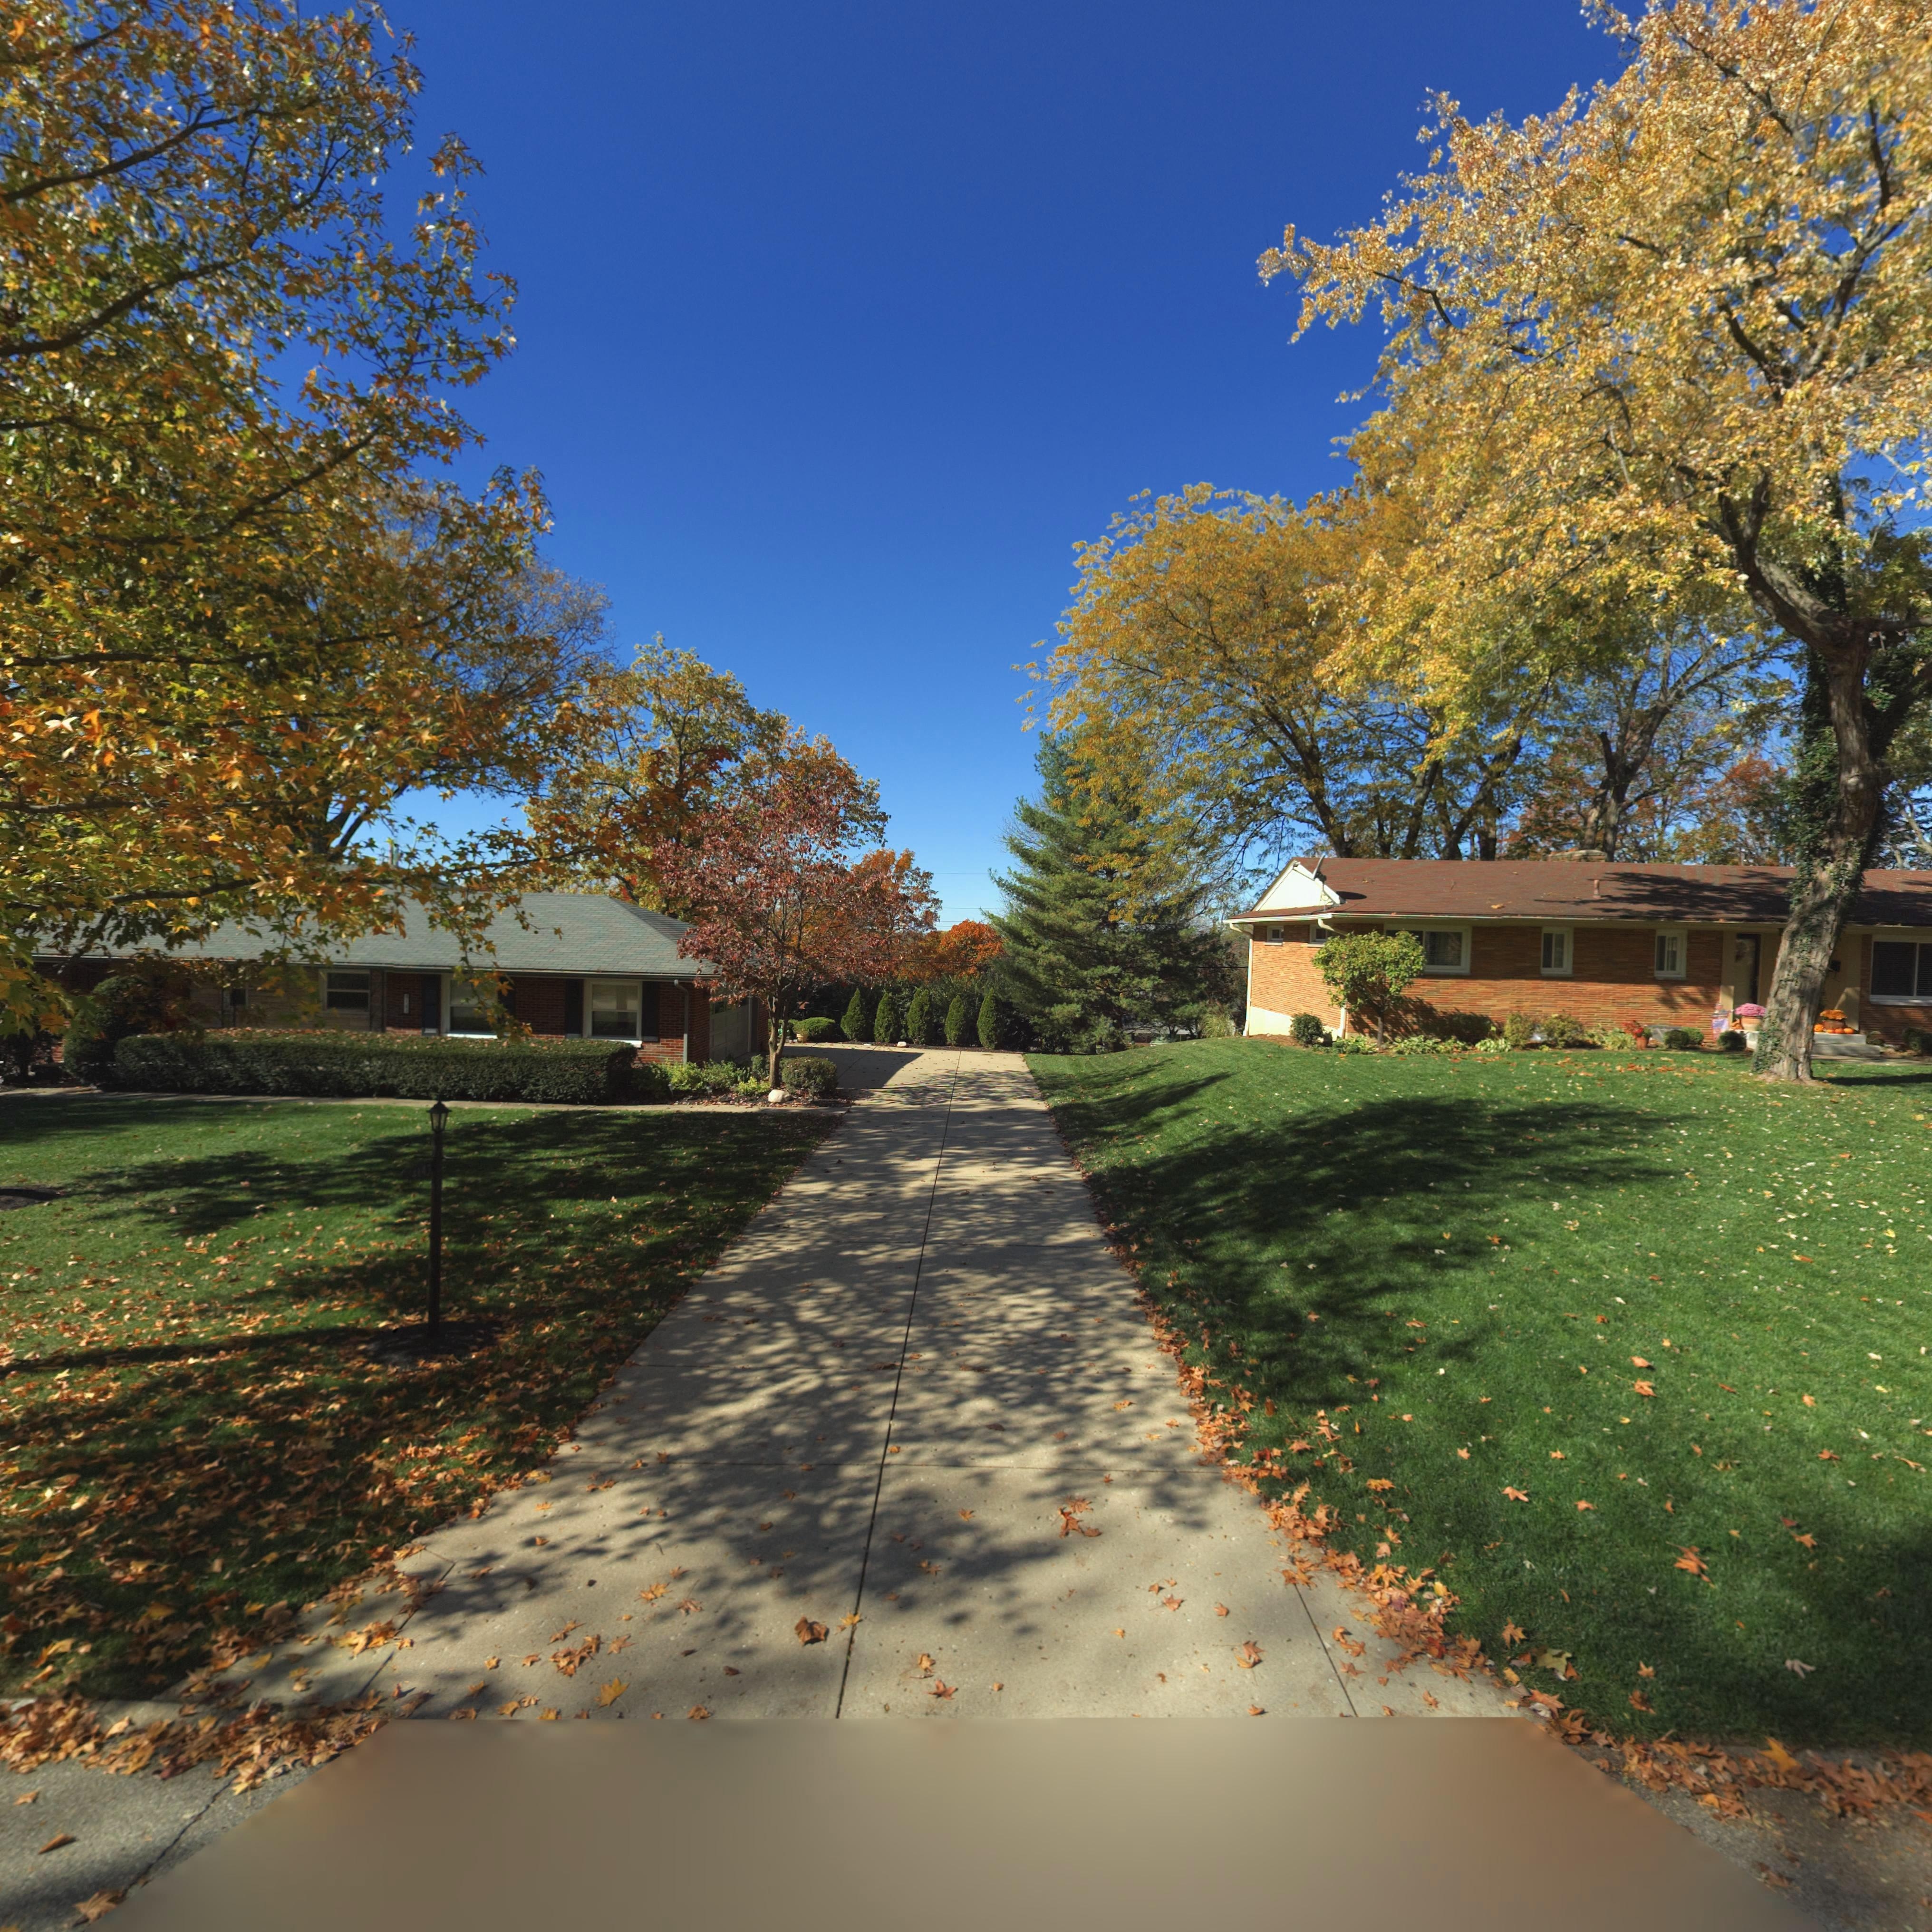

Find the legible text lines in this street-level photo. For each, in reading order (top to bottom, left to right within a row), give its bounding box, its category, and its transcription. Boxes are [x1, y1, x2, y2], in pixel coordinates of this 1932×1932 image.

[404, 994, 408, 1013] StreetNumber: 4*4*
[411, 1162, 432, 1180] StreetNumber: 4*43